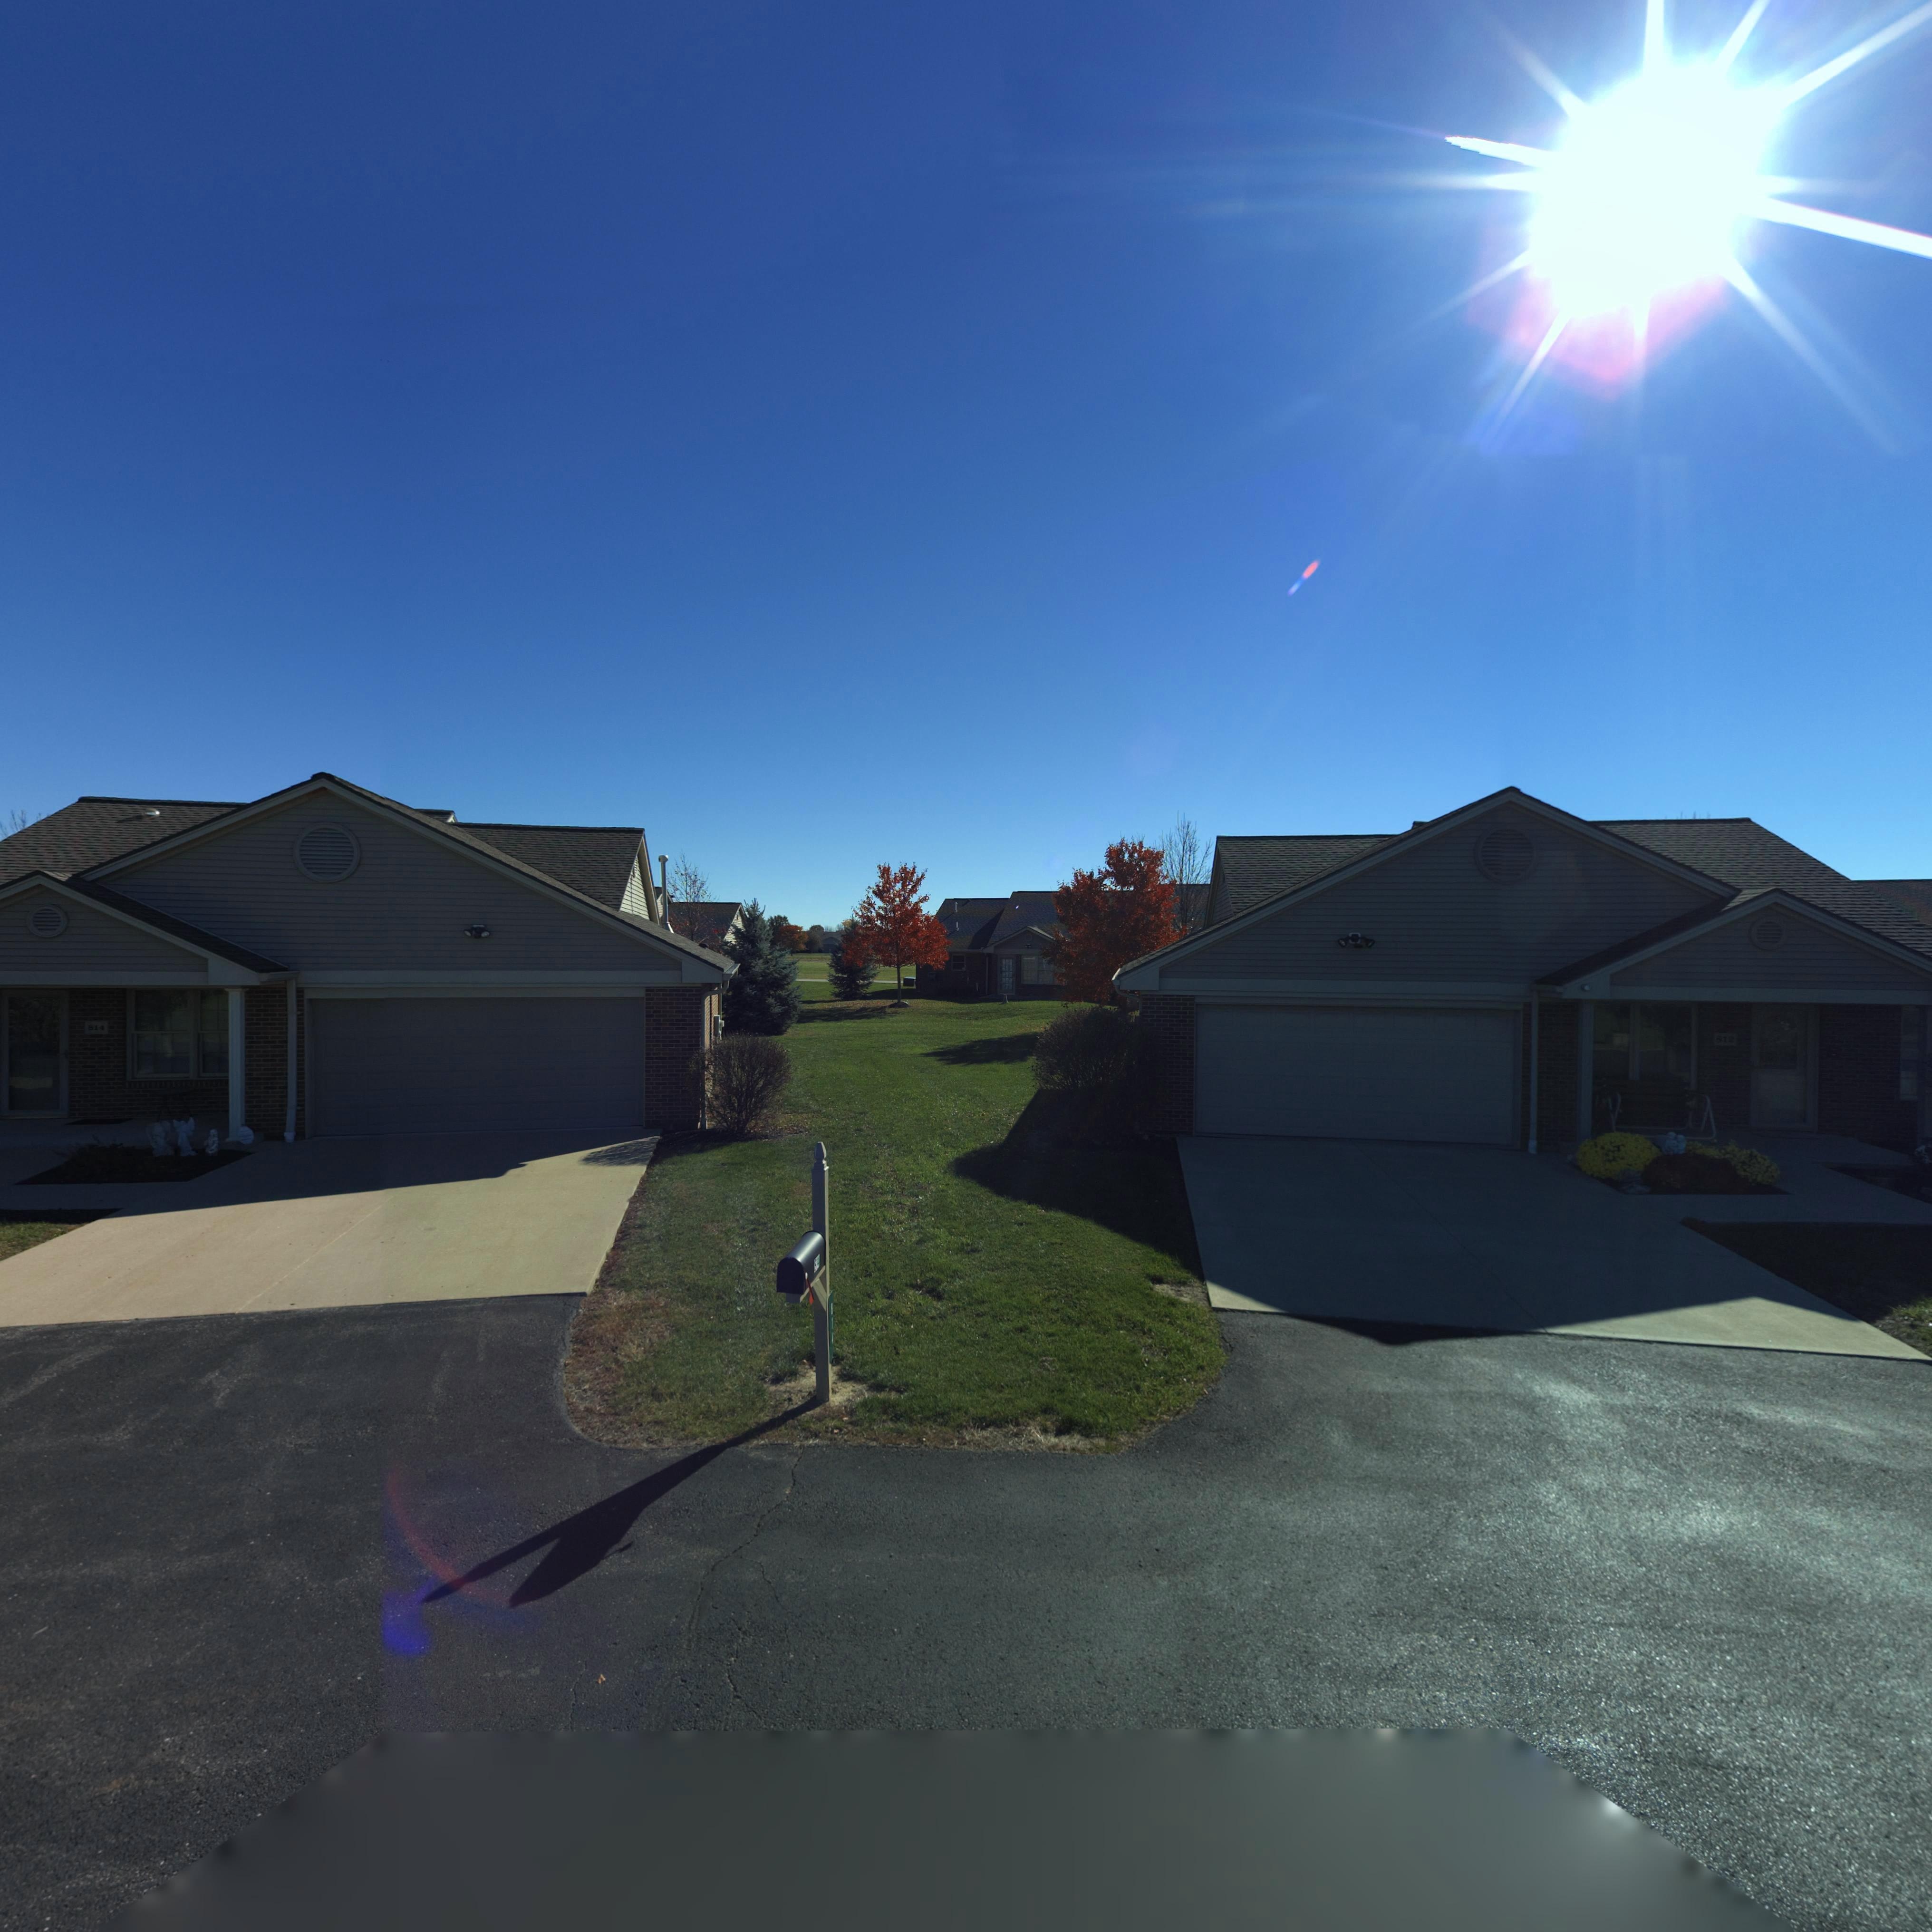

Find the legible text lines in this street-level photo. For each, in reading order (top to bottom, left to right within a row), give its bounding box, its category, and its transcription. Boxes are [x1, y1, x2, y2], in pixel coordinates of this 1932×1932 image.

[87, 1024, 105, 1031] StreetNumber: 814
[1715, 1035, 1735, 1043] StreetNumber: 812